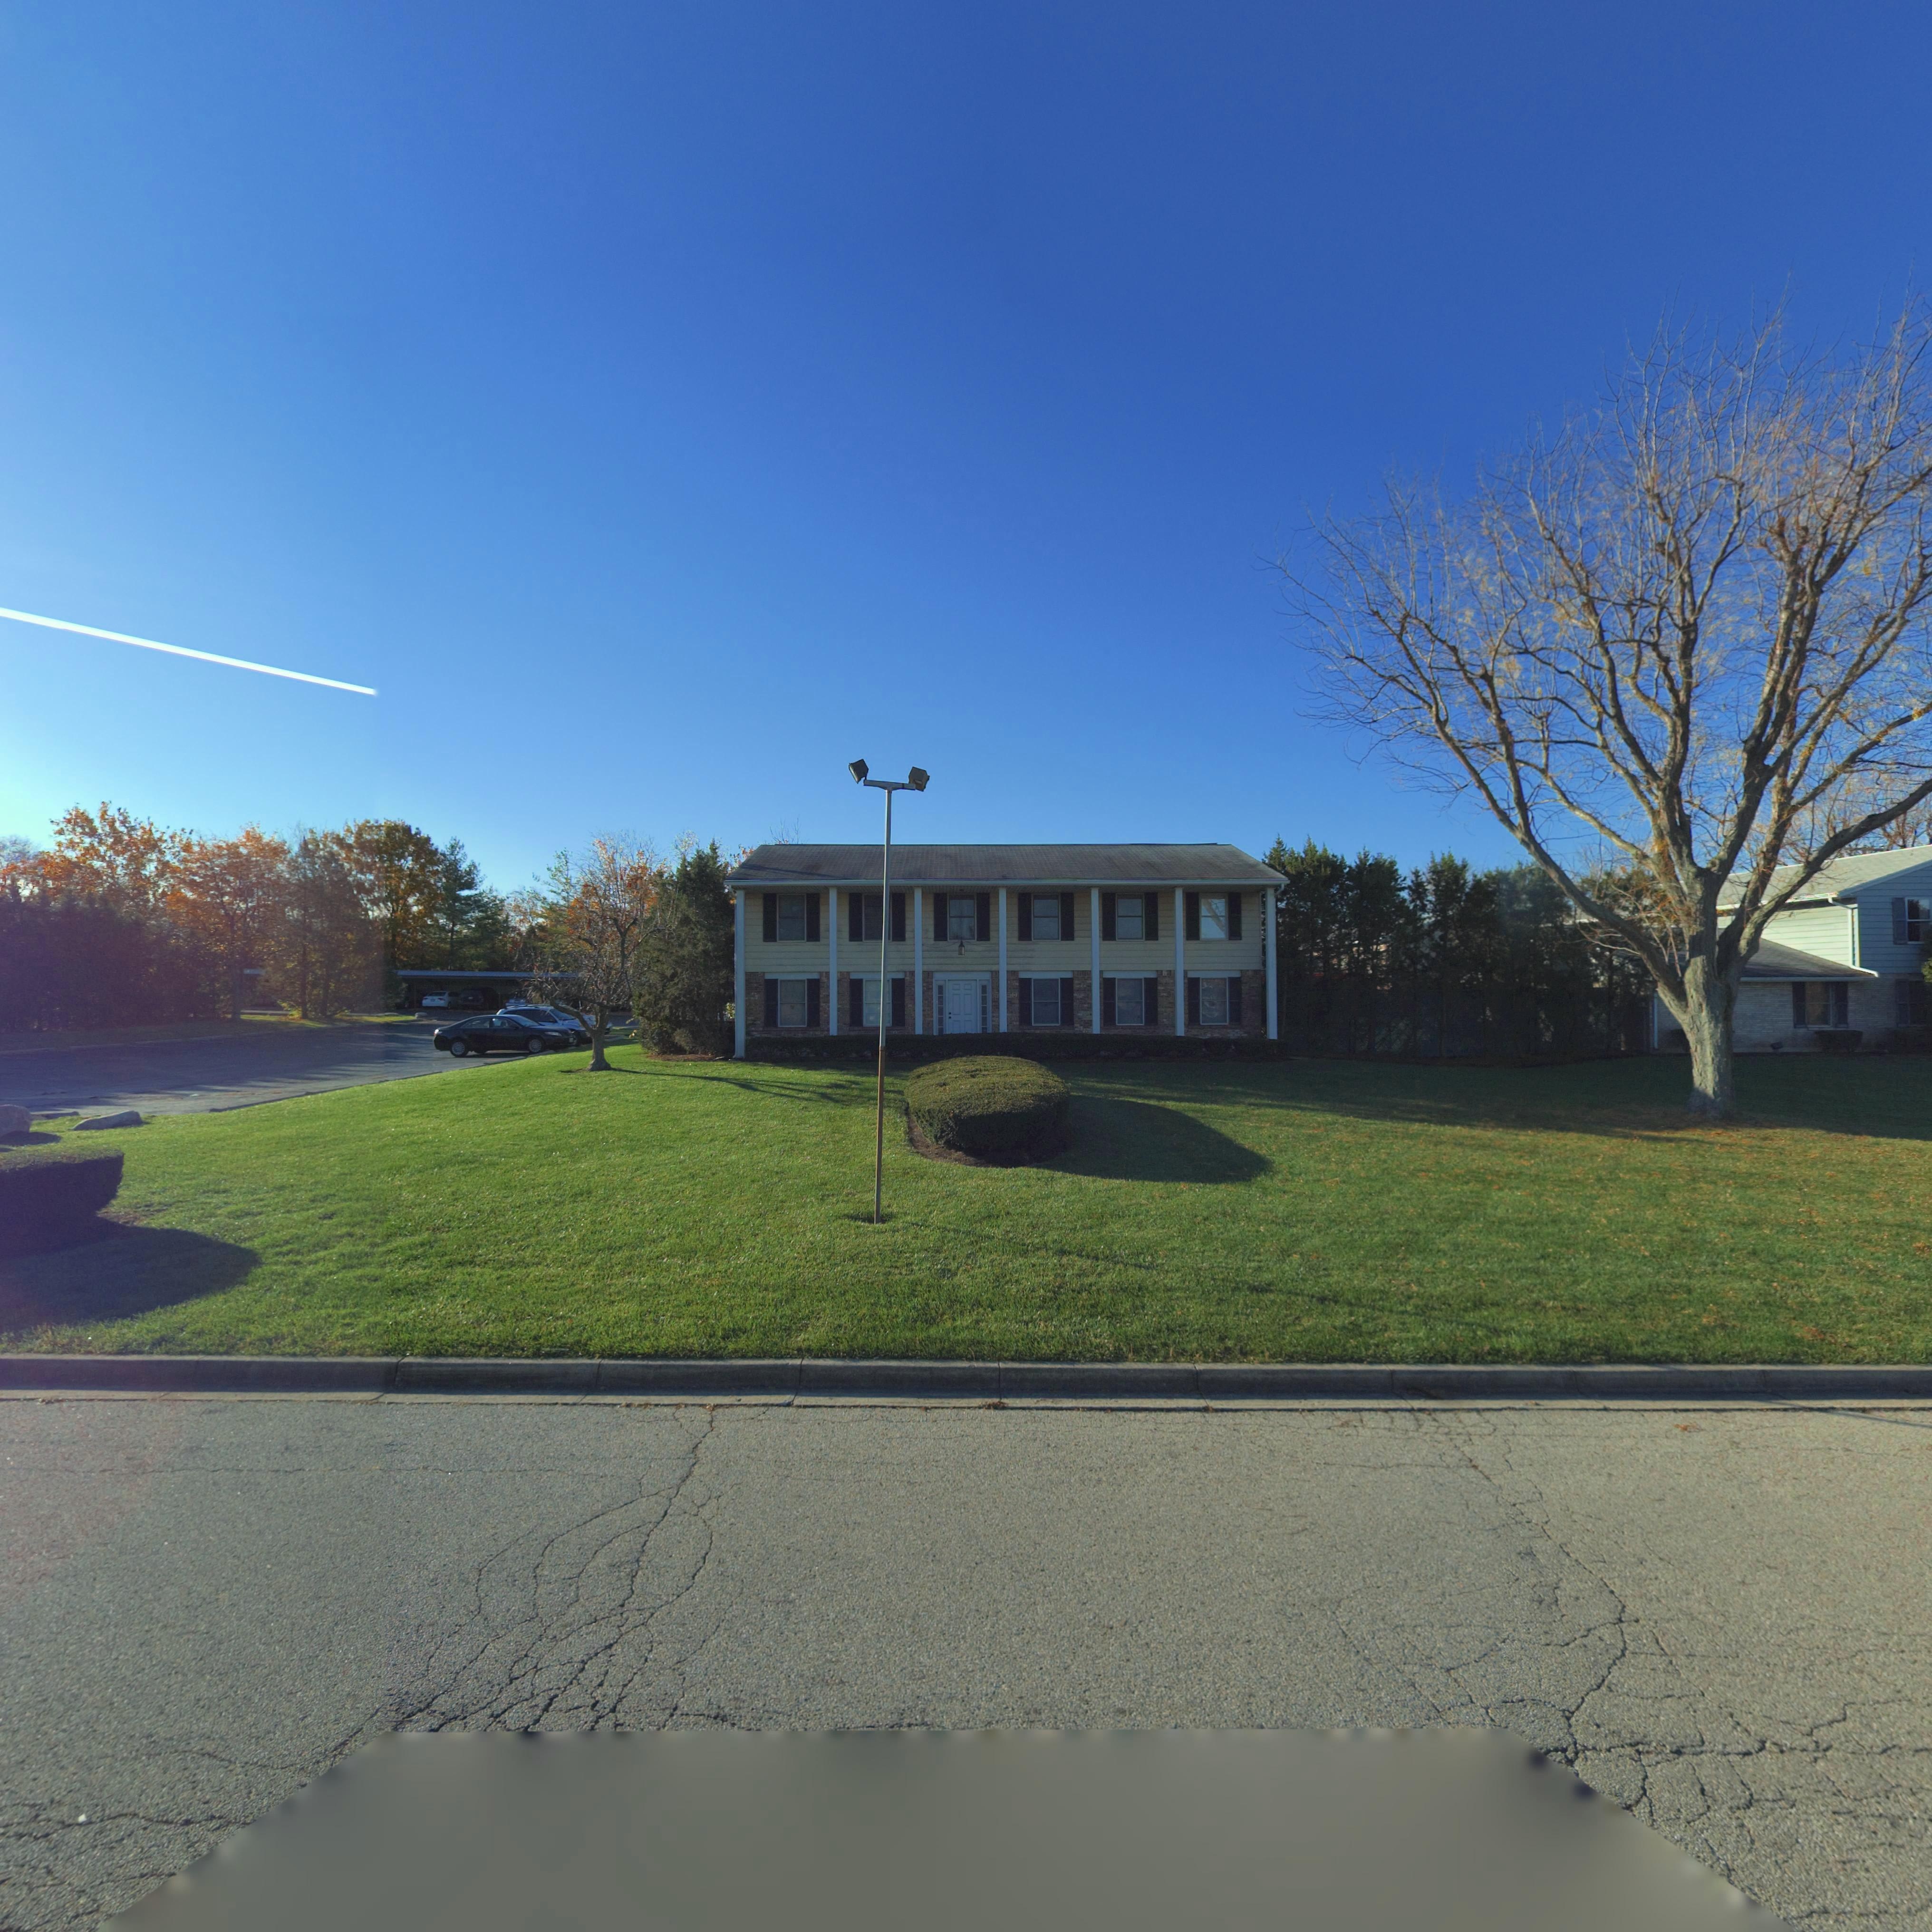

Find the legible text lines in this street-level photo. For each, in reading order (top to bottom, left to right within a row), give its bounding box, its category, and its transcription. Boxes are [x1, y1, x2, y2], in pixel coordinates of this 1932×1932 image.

[994, 991, 1018, 999] StreetNumber: 5*50